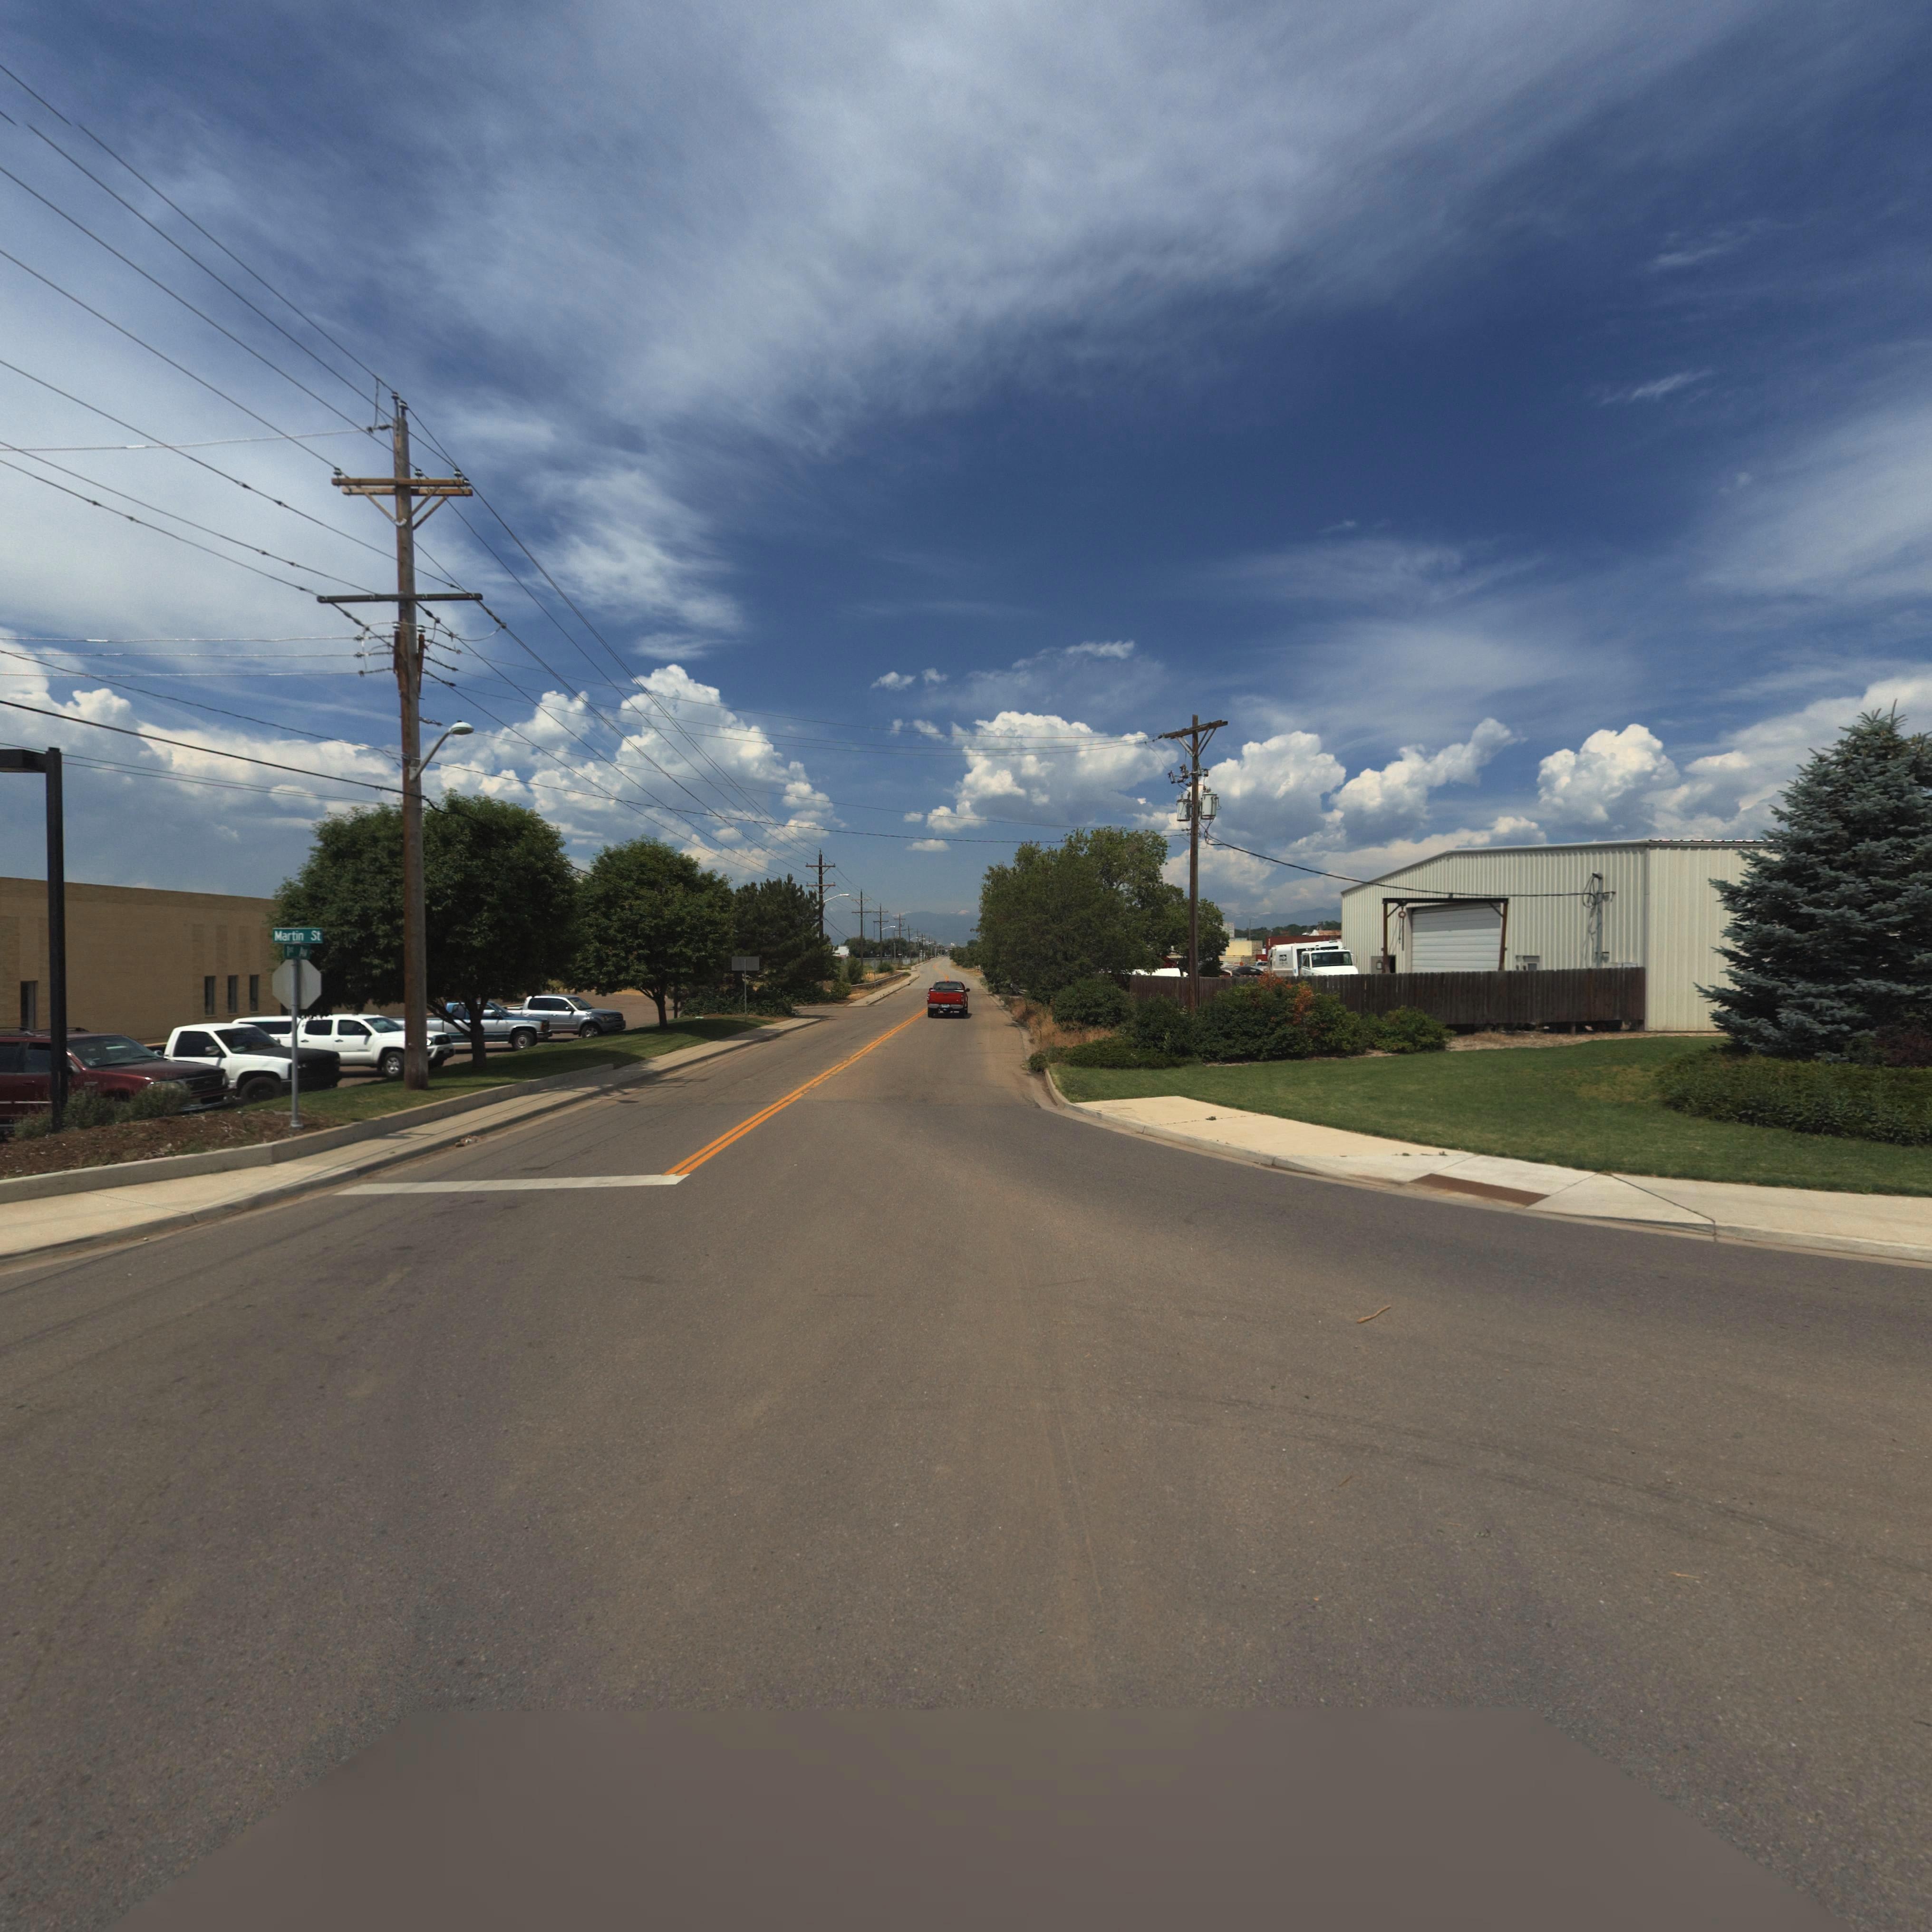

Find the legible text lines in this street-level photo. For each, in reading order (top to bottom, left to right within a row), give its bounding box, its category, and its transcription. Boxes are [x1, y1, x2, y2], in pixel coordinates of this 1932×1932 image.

[273, 929, 321, 941] StreetName: Martin St
[286, 945, 309, 956] StreetName: 1st Av